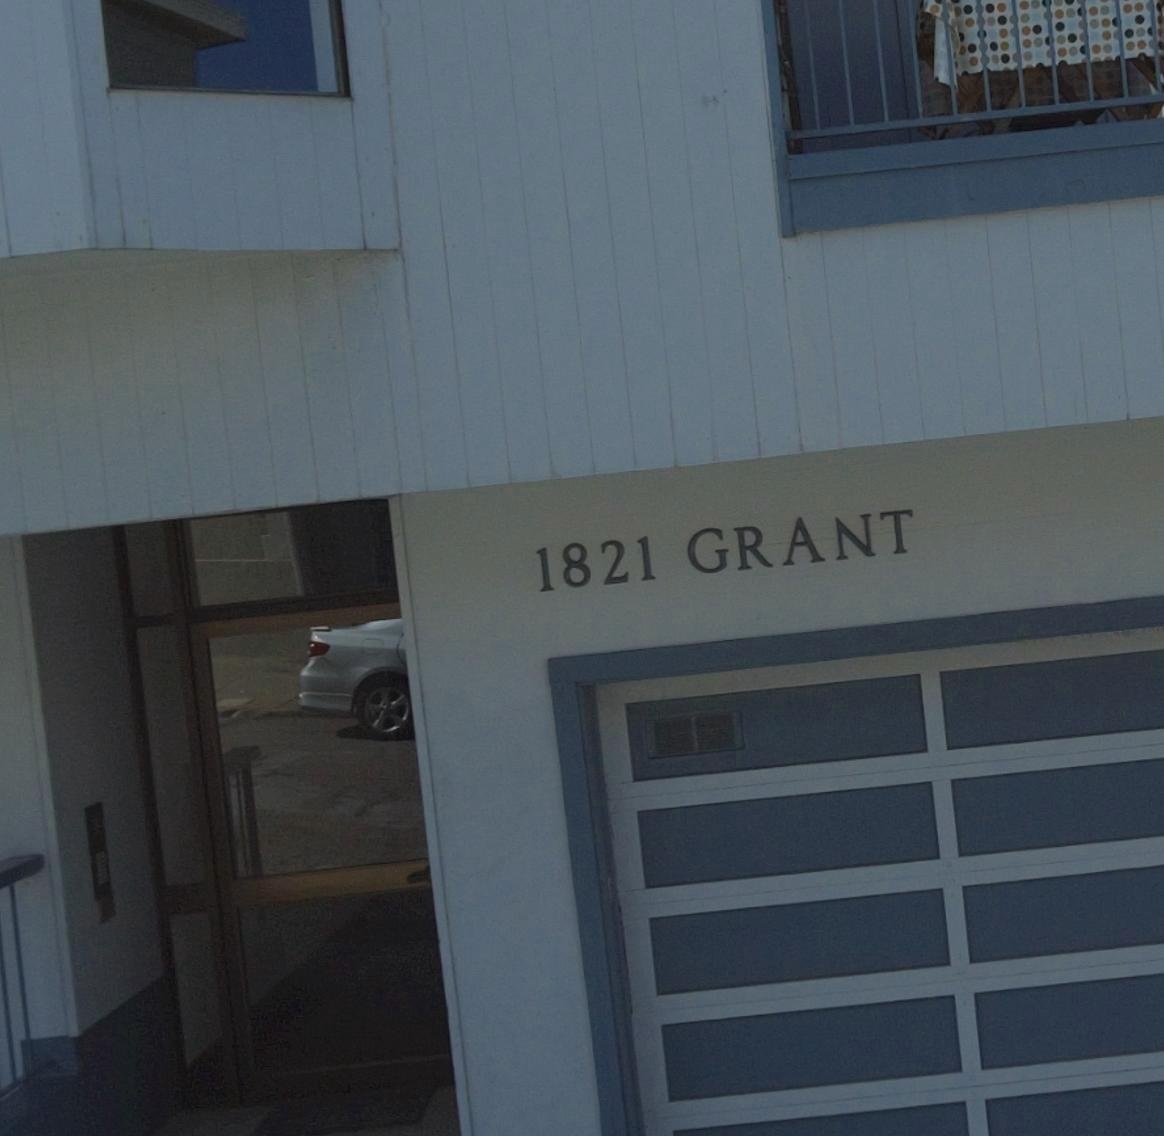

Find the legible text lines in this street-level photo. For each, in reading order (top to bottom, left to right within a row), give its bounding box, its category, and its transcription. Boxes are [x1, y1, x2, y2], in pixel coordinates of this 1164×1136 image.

[533, 532, 659, 596] StreetNumber: 1821
[682, 504, 927, 578] StreetName: GRANT